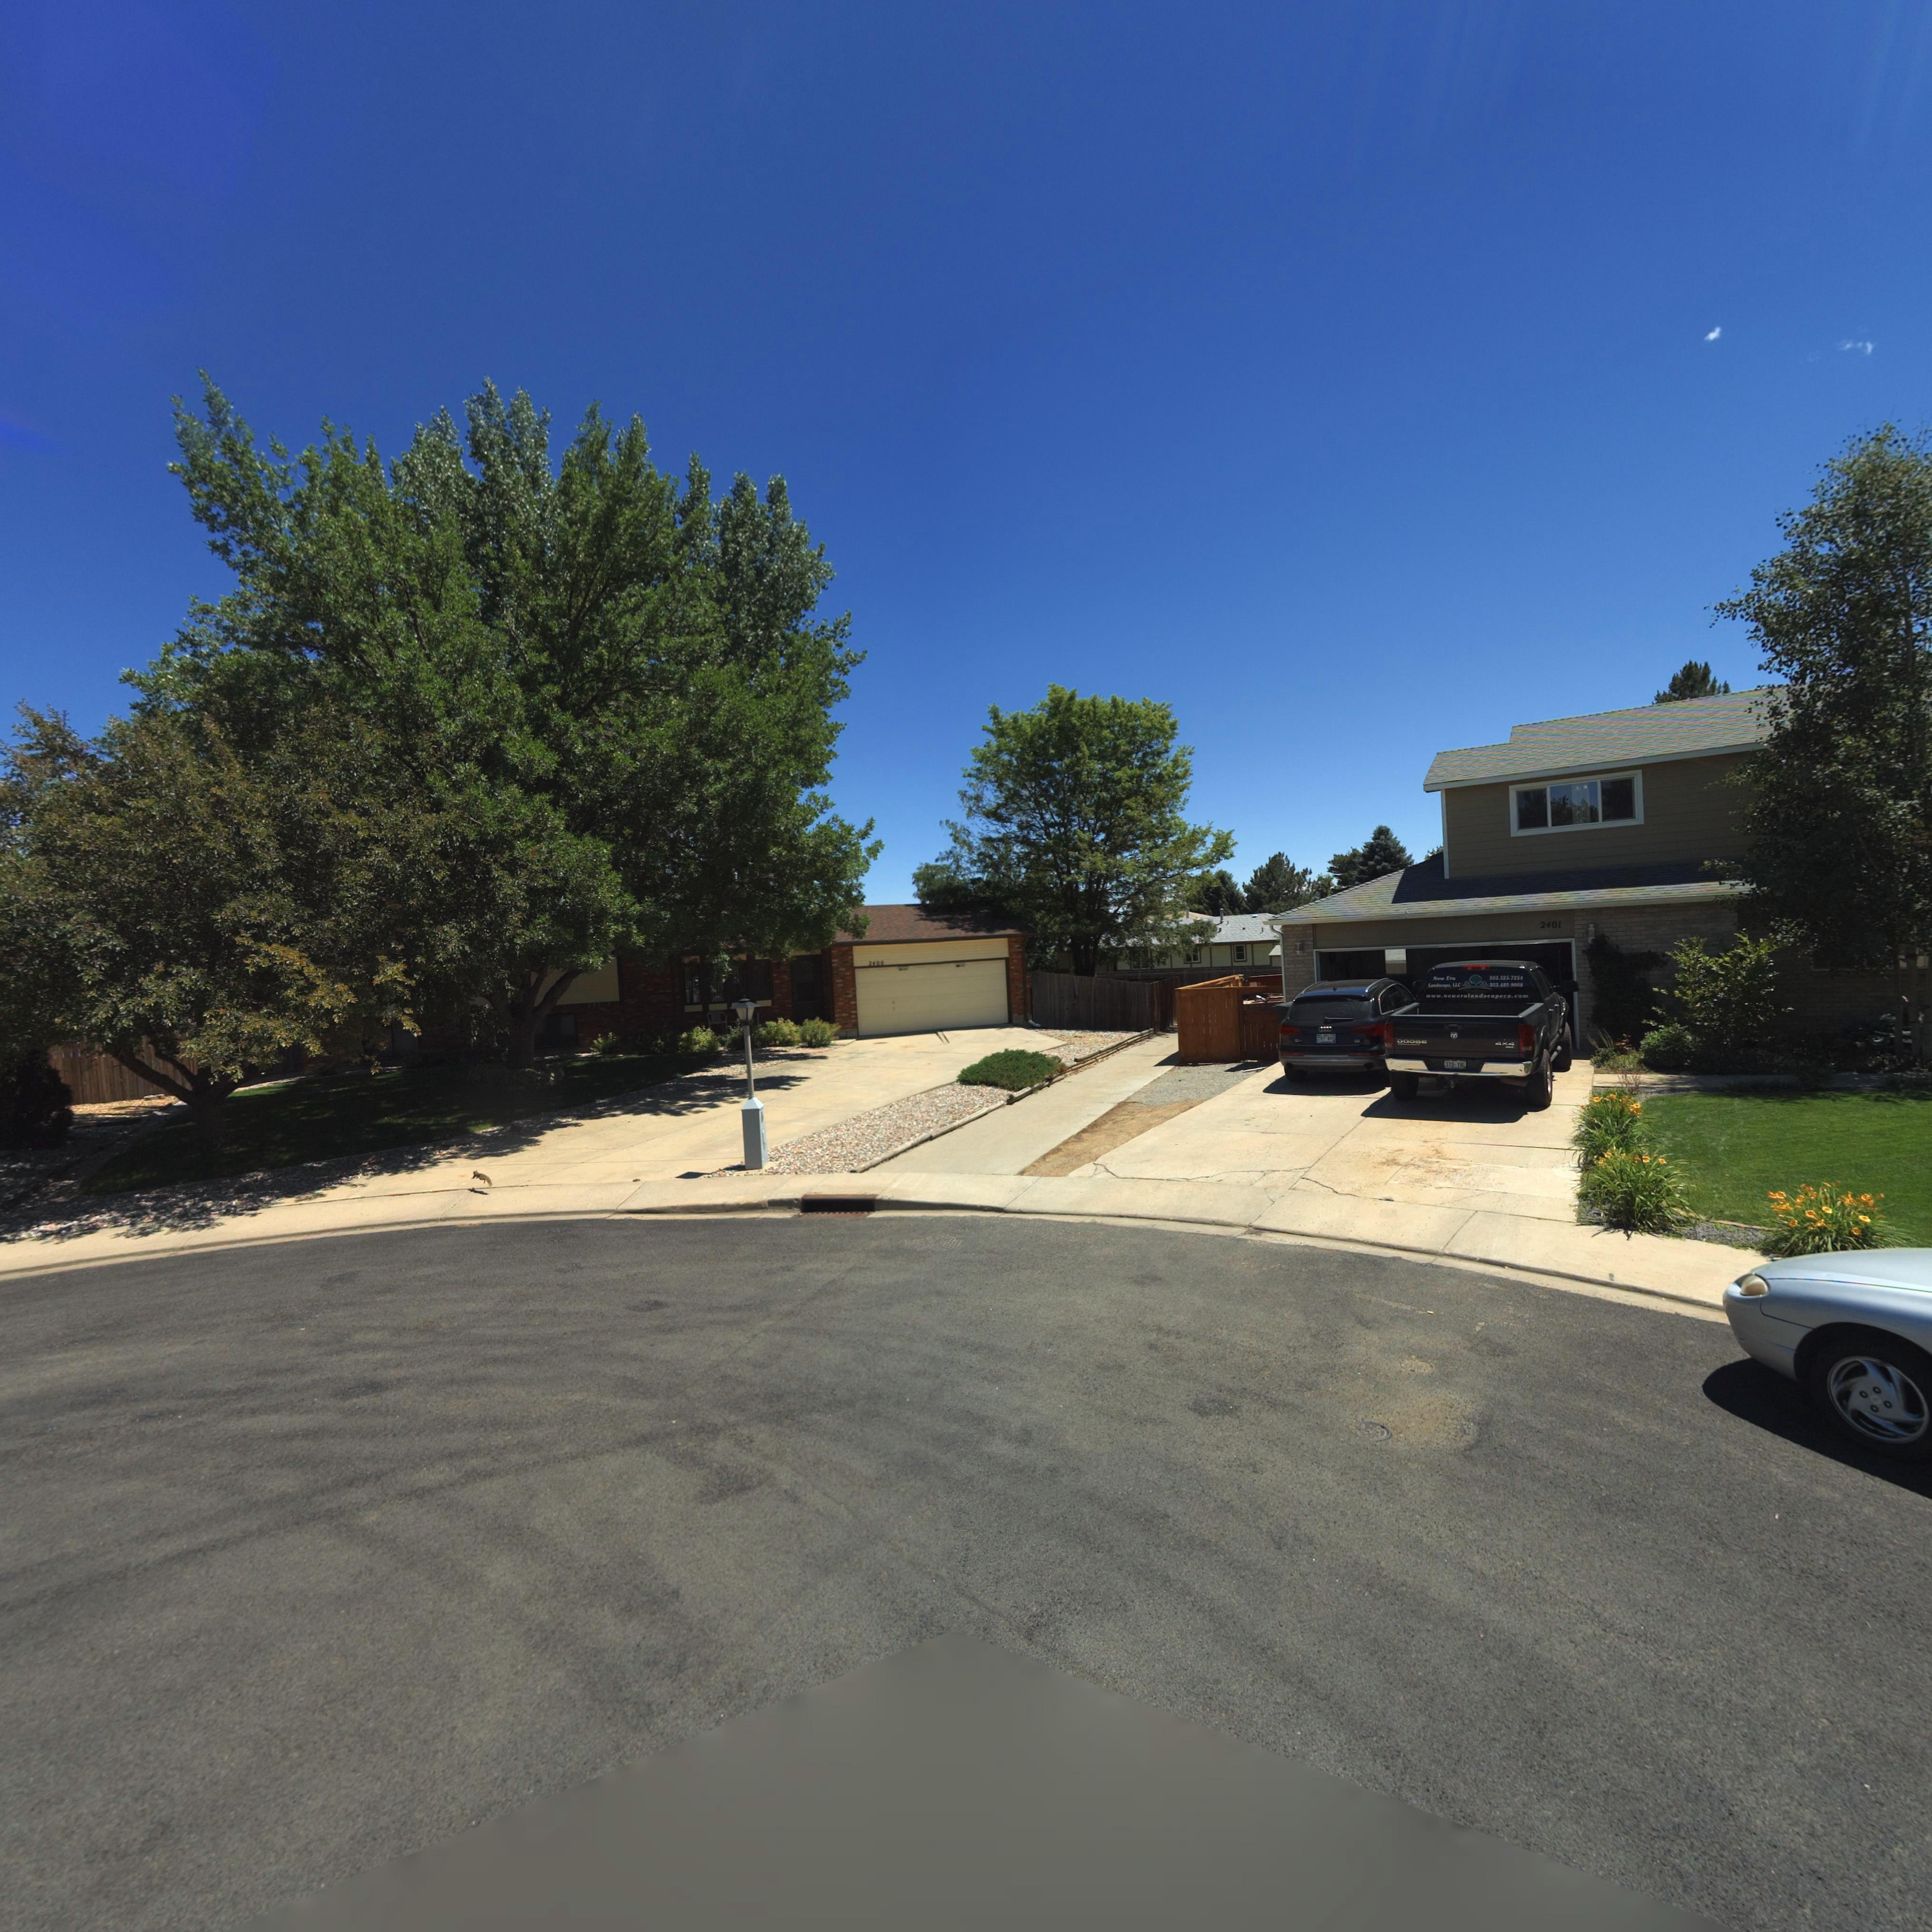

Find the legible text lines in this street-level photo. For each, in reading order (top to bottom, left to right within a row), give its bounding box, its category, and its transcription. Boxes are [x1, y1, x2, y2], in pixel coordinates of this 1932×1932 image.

[1540, 920, 1561, 928] StreetNumber: 2401
[868, 960, 884, 966] StreetNumber: 2400